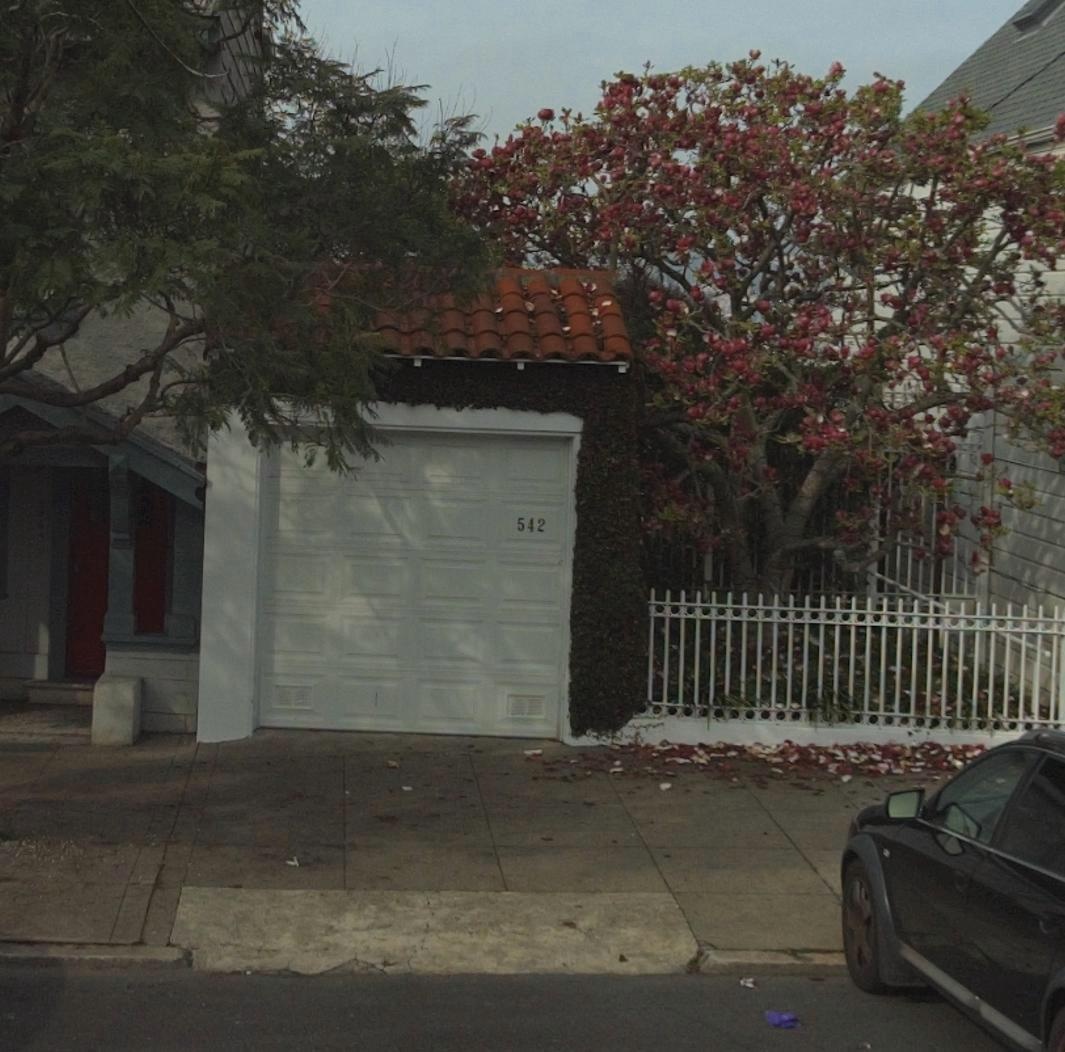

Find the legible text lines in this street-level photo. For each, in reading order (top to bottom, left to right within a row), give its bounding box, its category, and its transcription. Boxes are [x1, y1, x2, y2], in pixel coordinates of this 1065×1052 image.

[515, 516, 546, 534] StreetNumber: 542